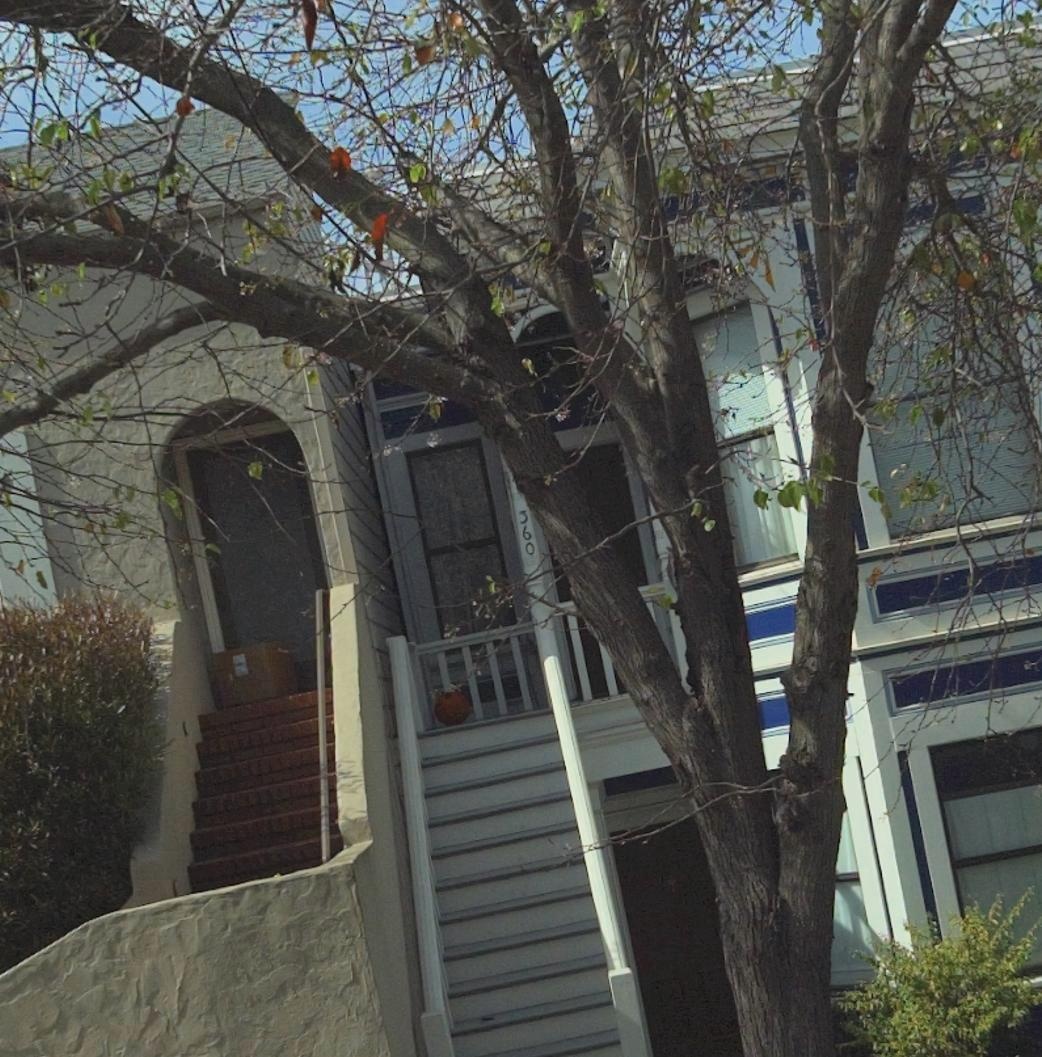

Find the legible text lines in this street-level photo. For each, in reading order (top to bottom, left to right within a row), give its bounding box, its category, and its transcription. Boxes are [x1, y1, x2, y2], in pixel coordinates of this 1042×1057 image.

[515, 507, 539, 560] StreetNumber: 360